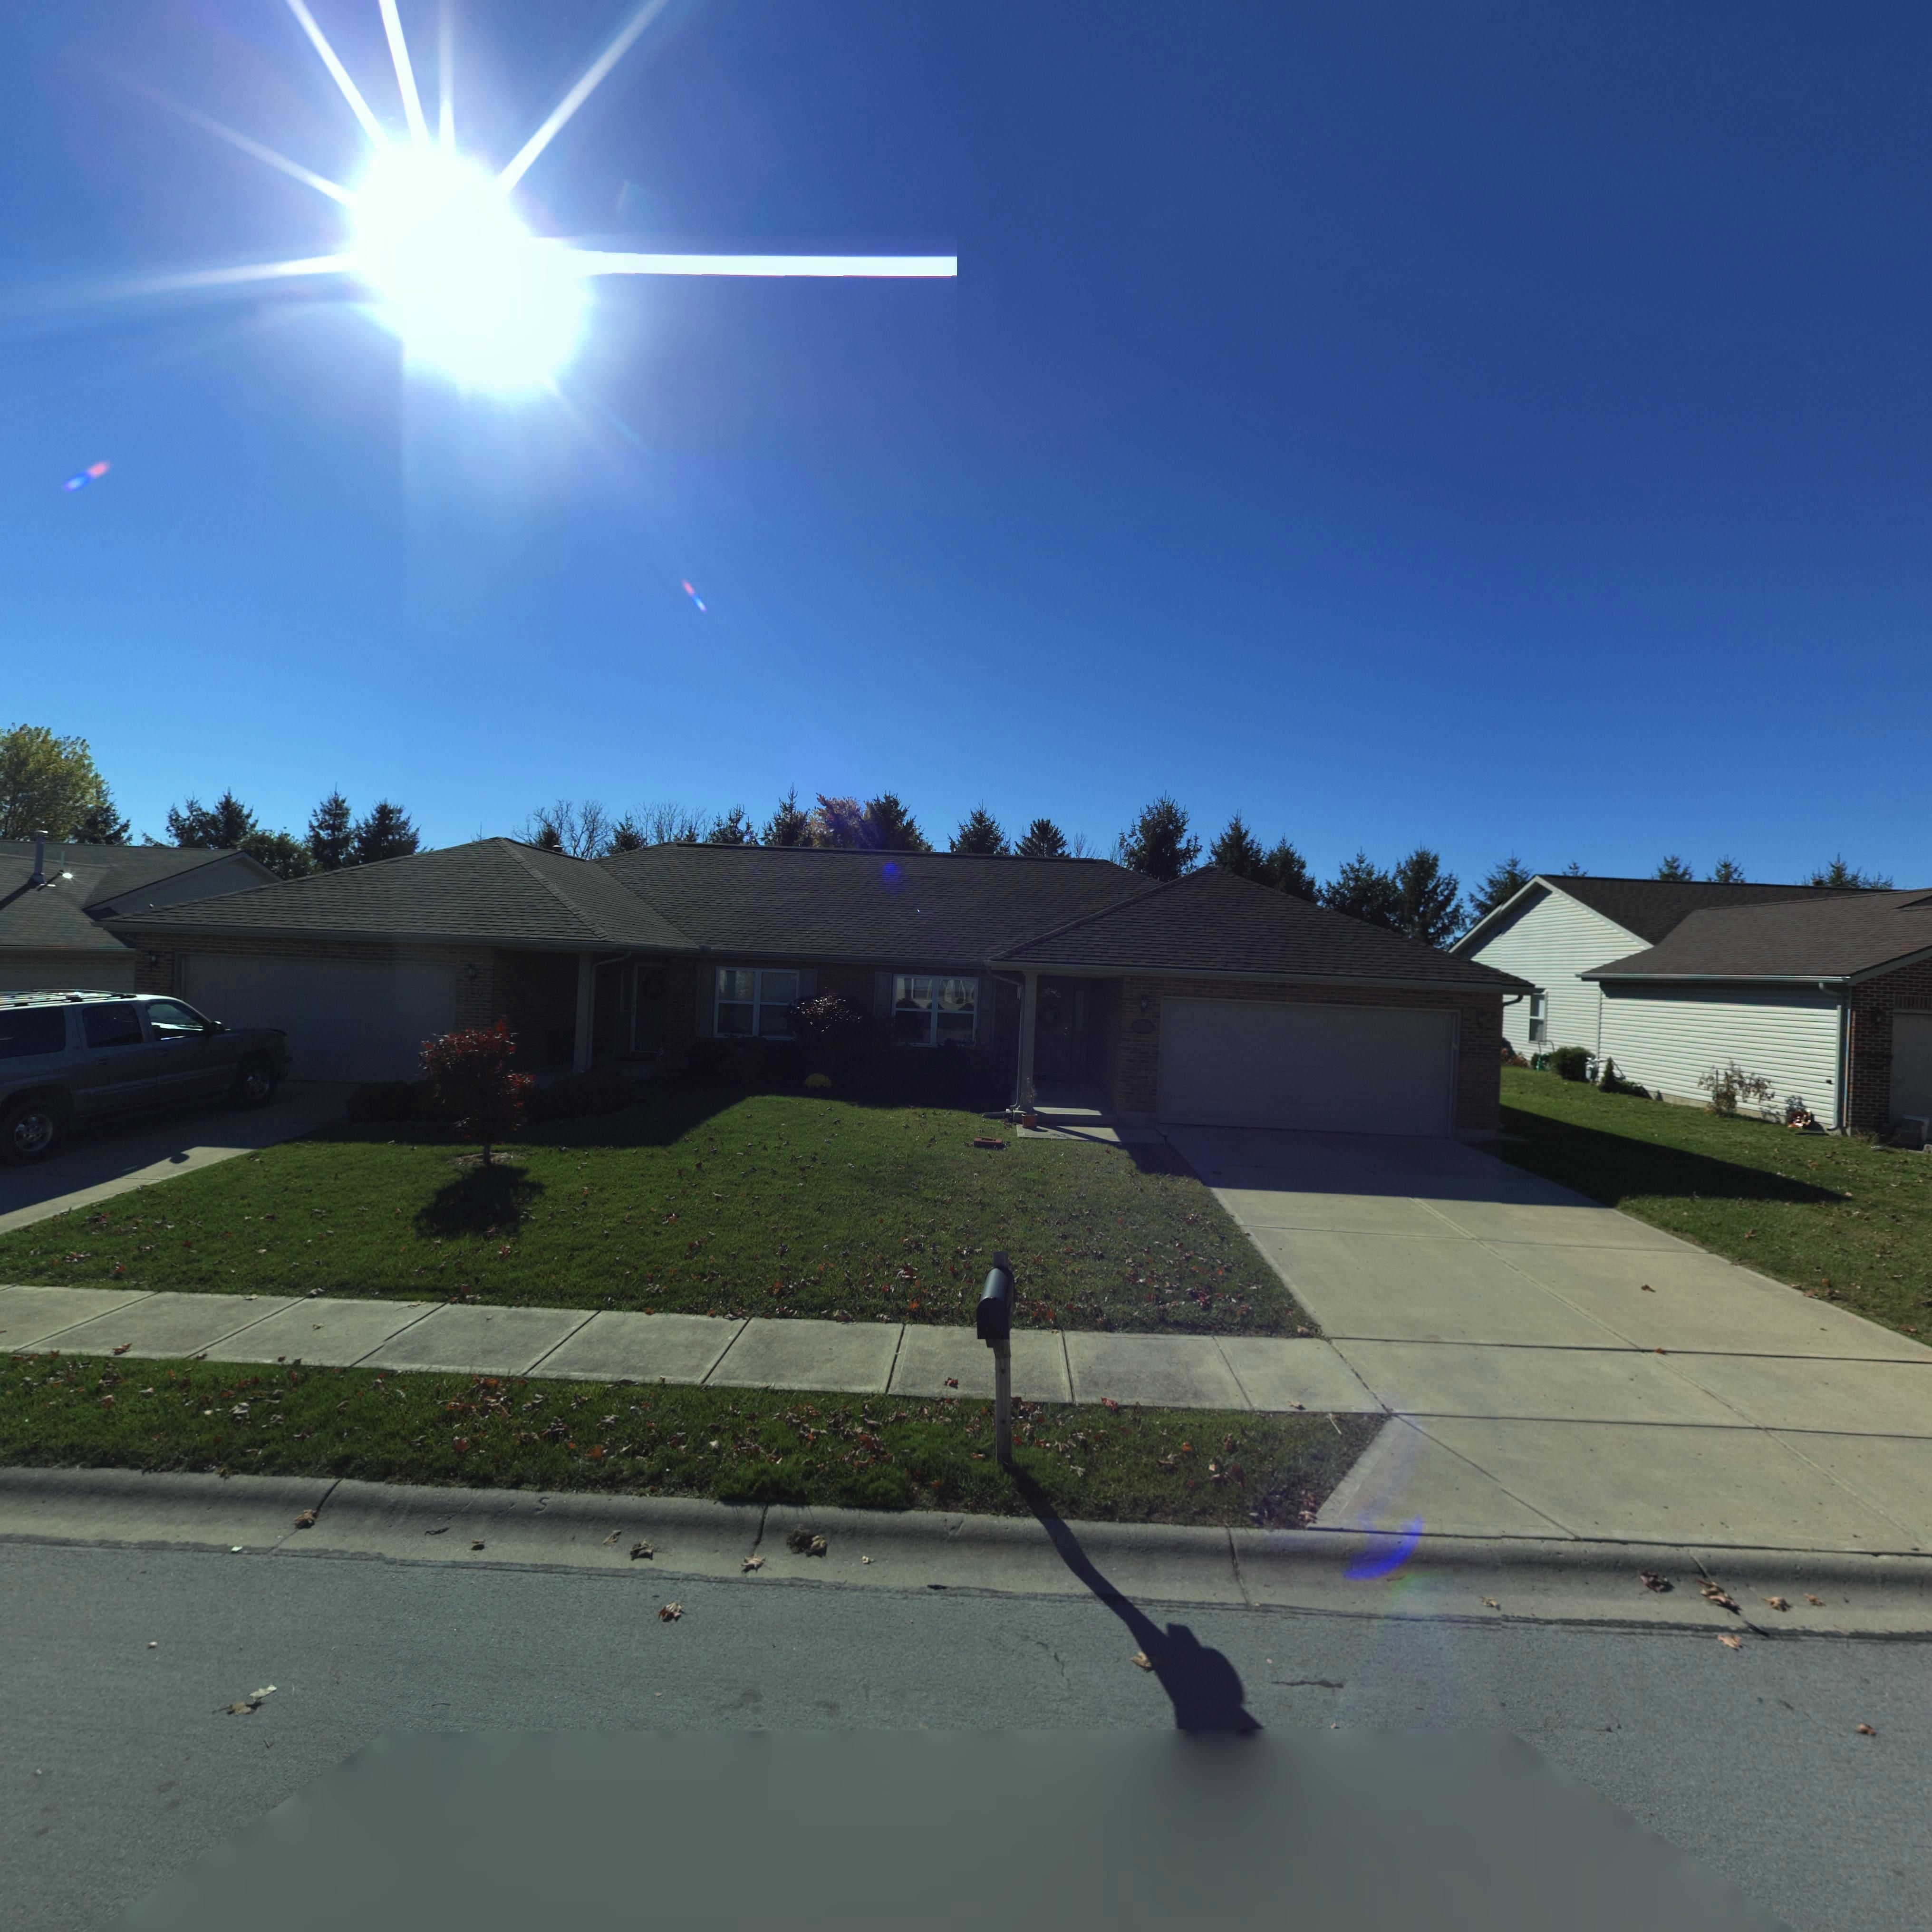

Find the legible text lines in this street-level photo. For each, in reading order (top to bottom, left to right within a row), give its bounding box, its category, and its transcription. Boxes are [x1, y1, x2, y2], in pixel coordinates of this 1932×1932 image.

[464, 987, 484, 1003] StreetNumber: 150